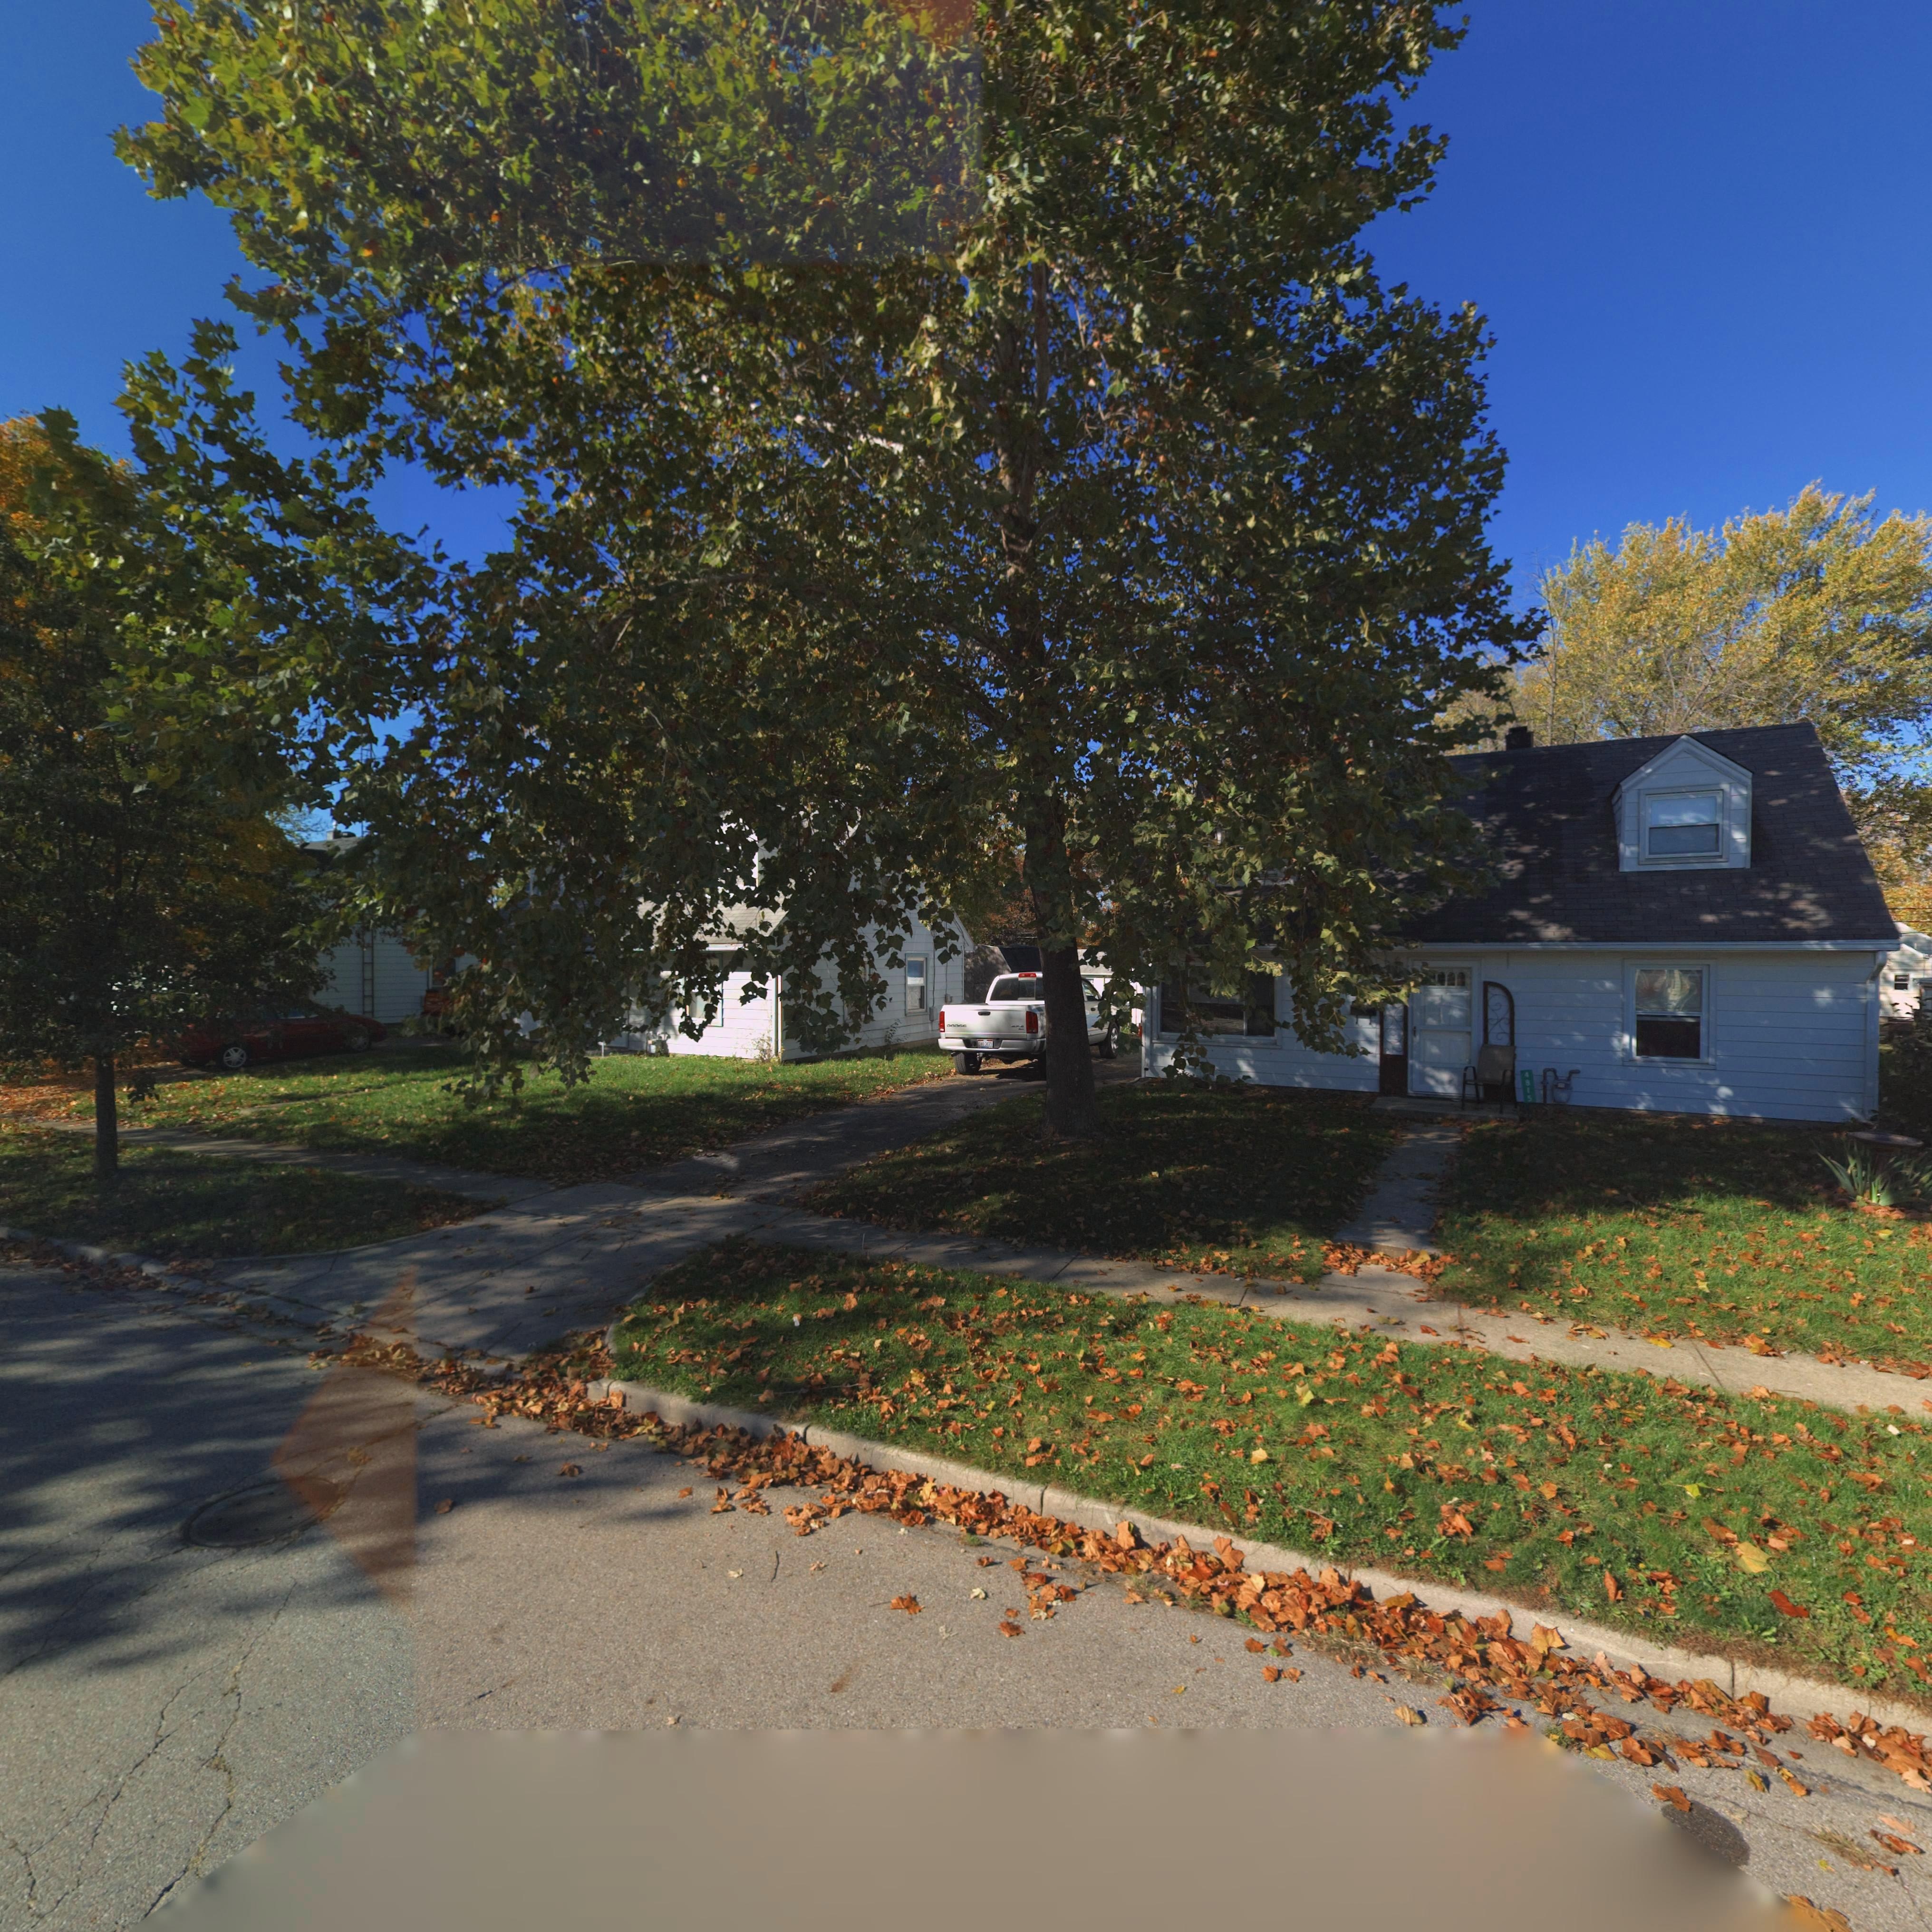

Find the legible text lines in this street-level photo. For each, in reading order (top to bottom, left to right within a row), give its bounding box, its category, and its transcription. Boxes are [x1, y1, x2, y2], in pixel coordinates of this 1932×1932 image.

[1524, 1071, 1533, 1102] StreetNumber: 4815